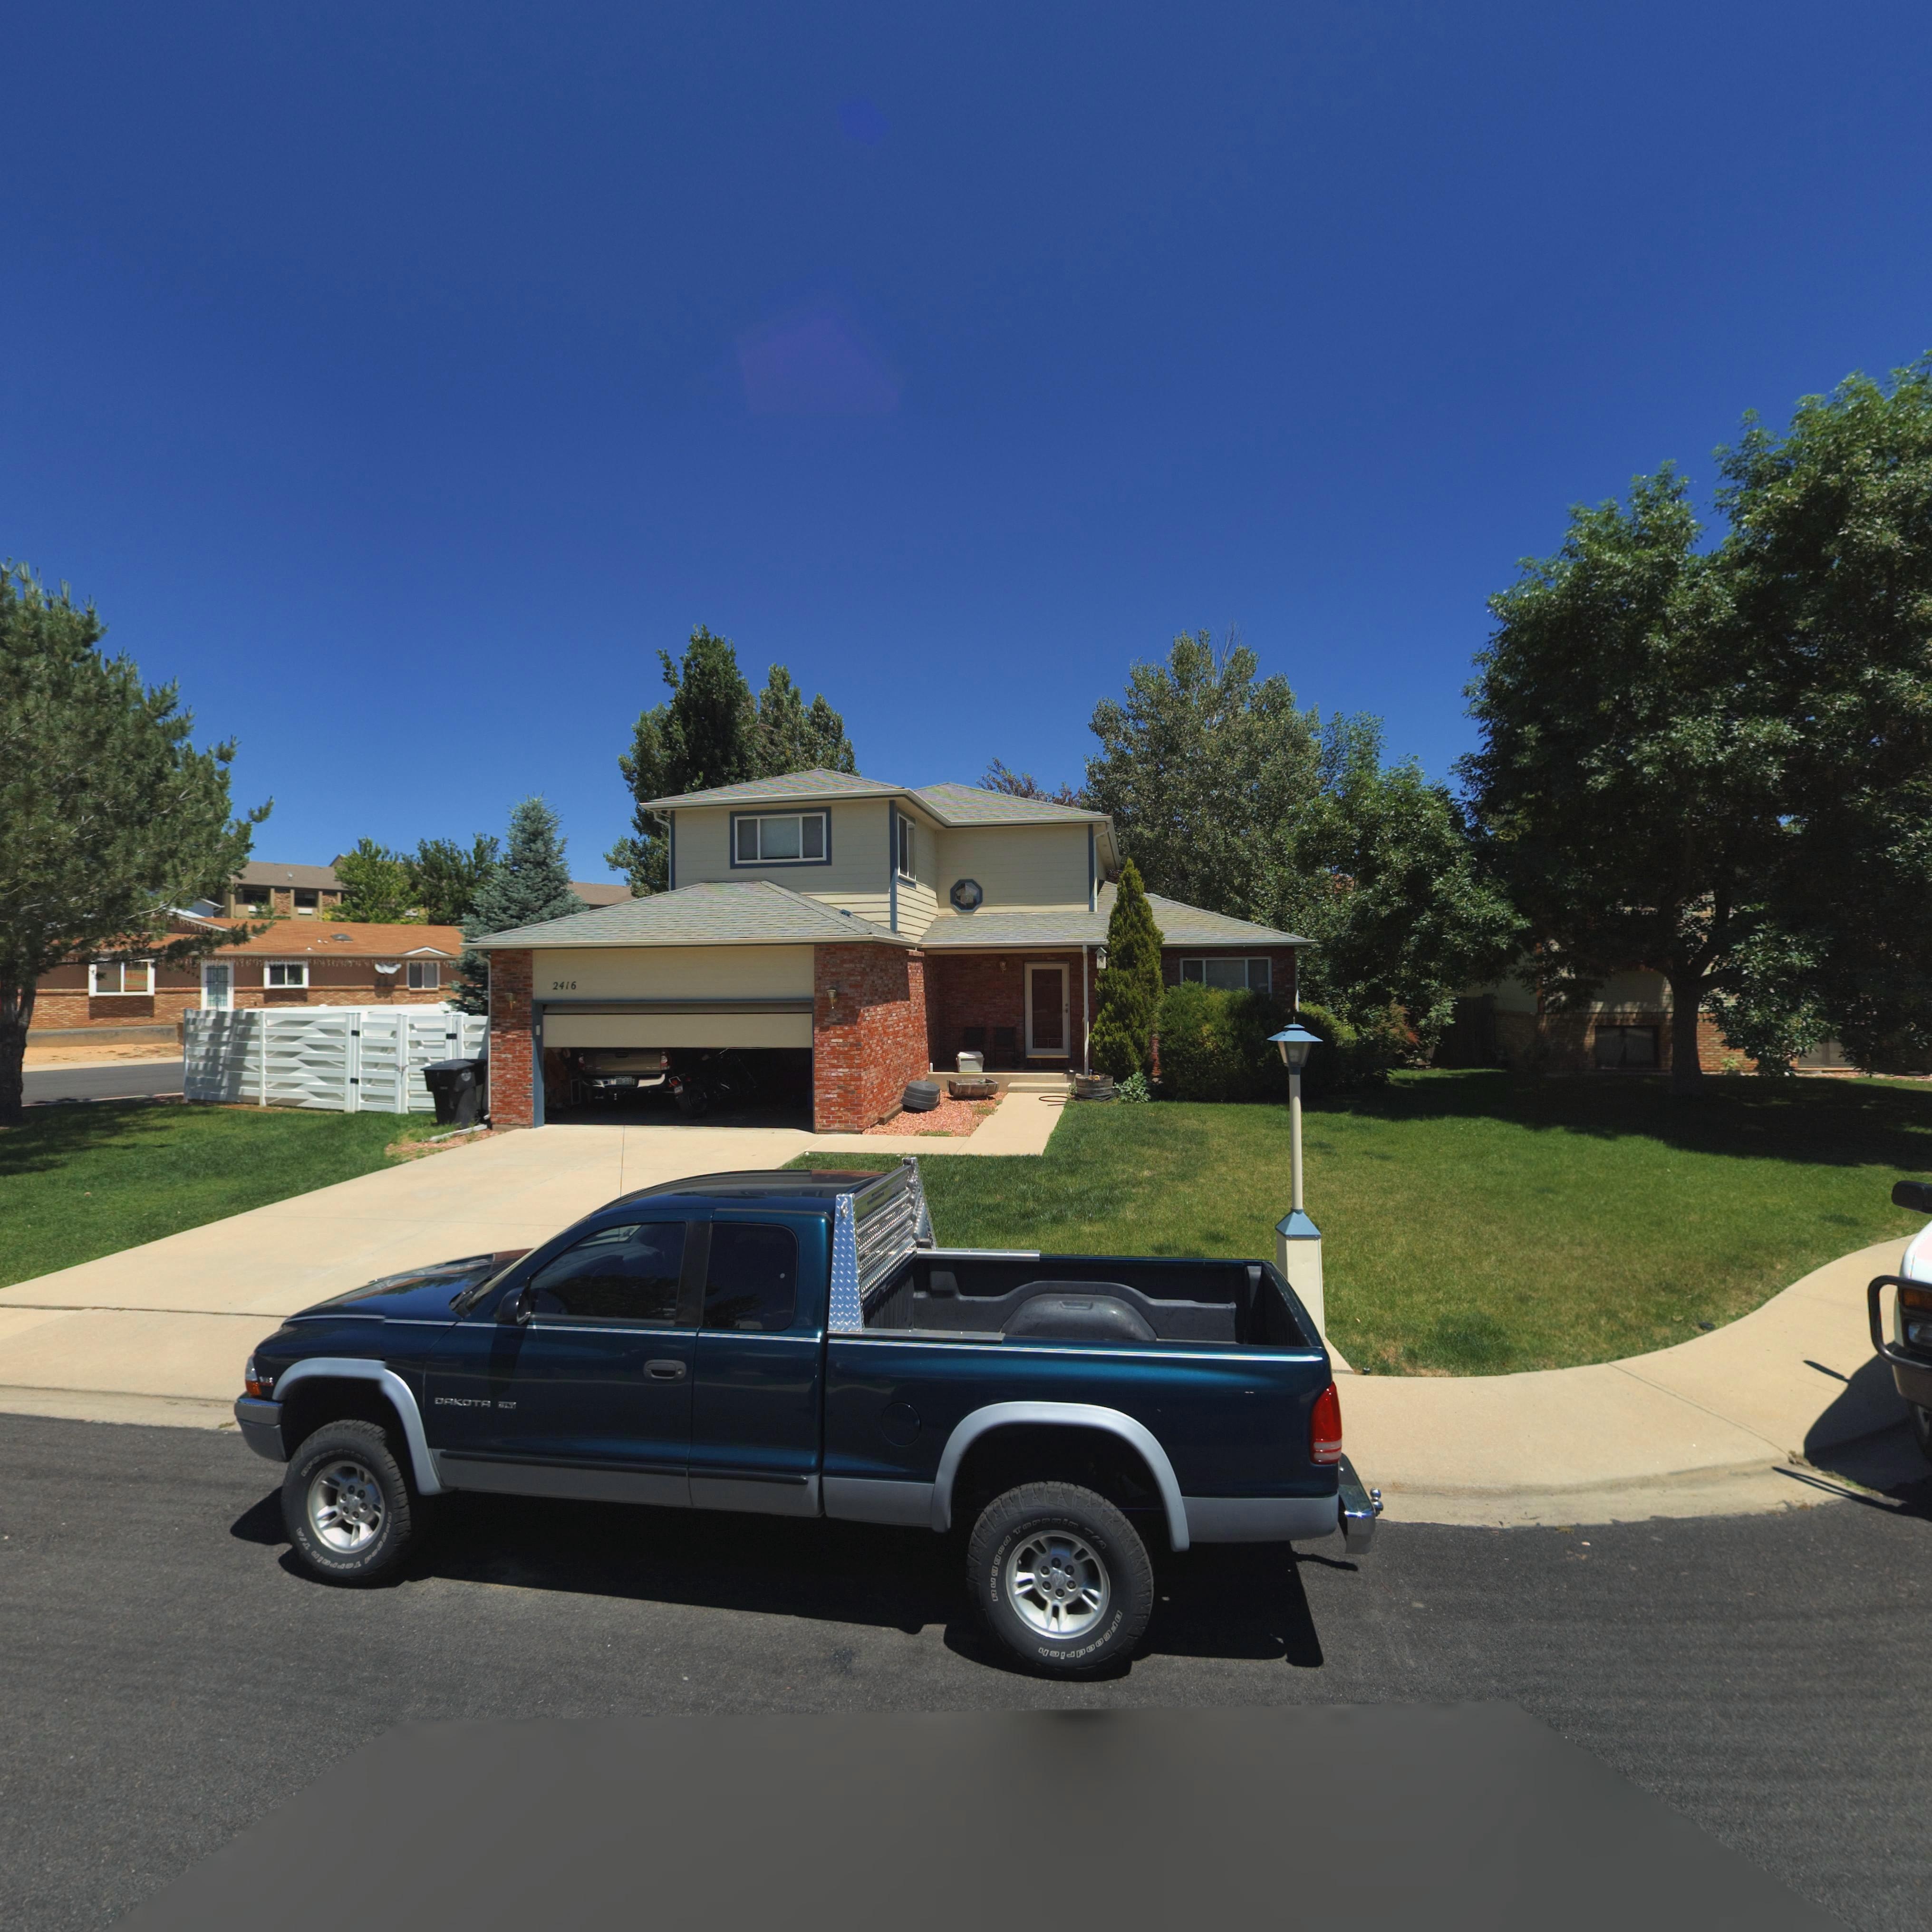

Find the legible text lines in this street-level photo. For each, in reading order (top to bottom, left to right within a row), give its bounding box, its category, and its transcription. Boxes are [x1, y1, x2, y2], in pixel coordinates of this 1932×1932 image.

[552, 981, 576, 990] StreetNumber: 2416